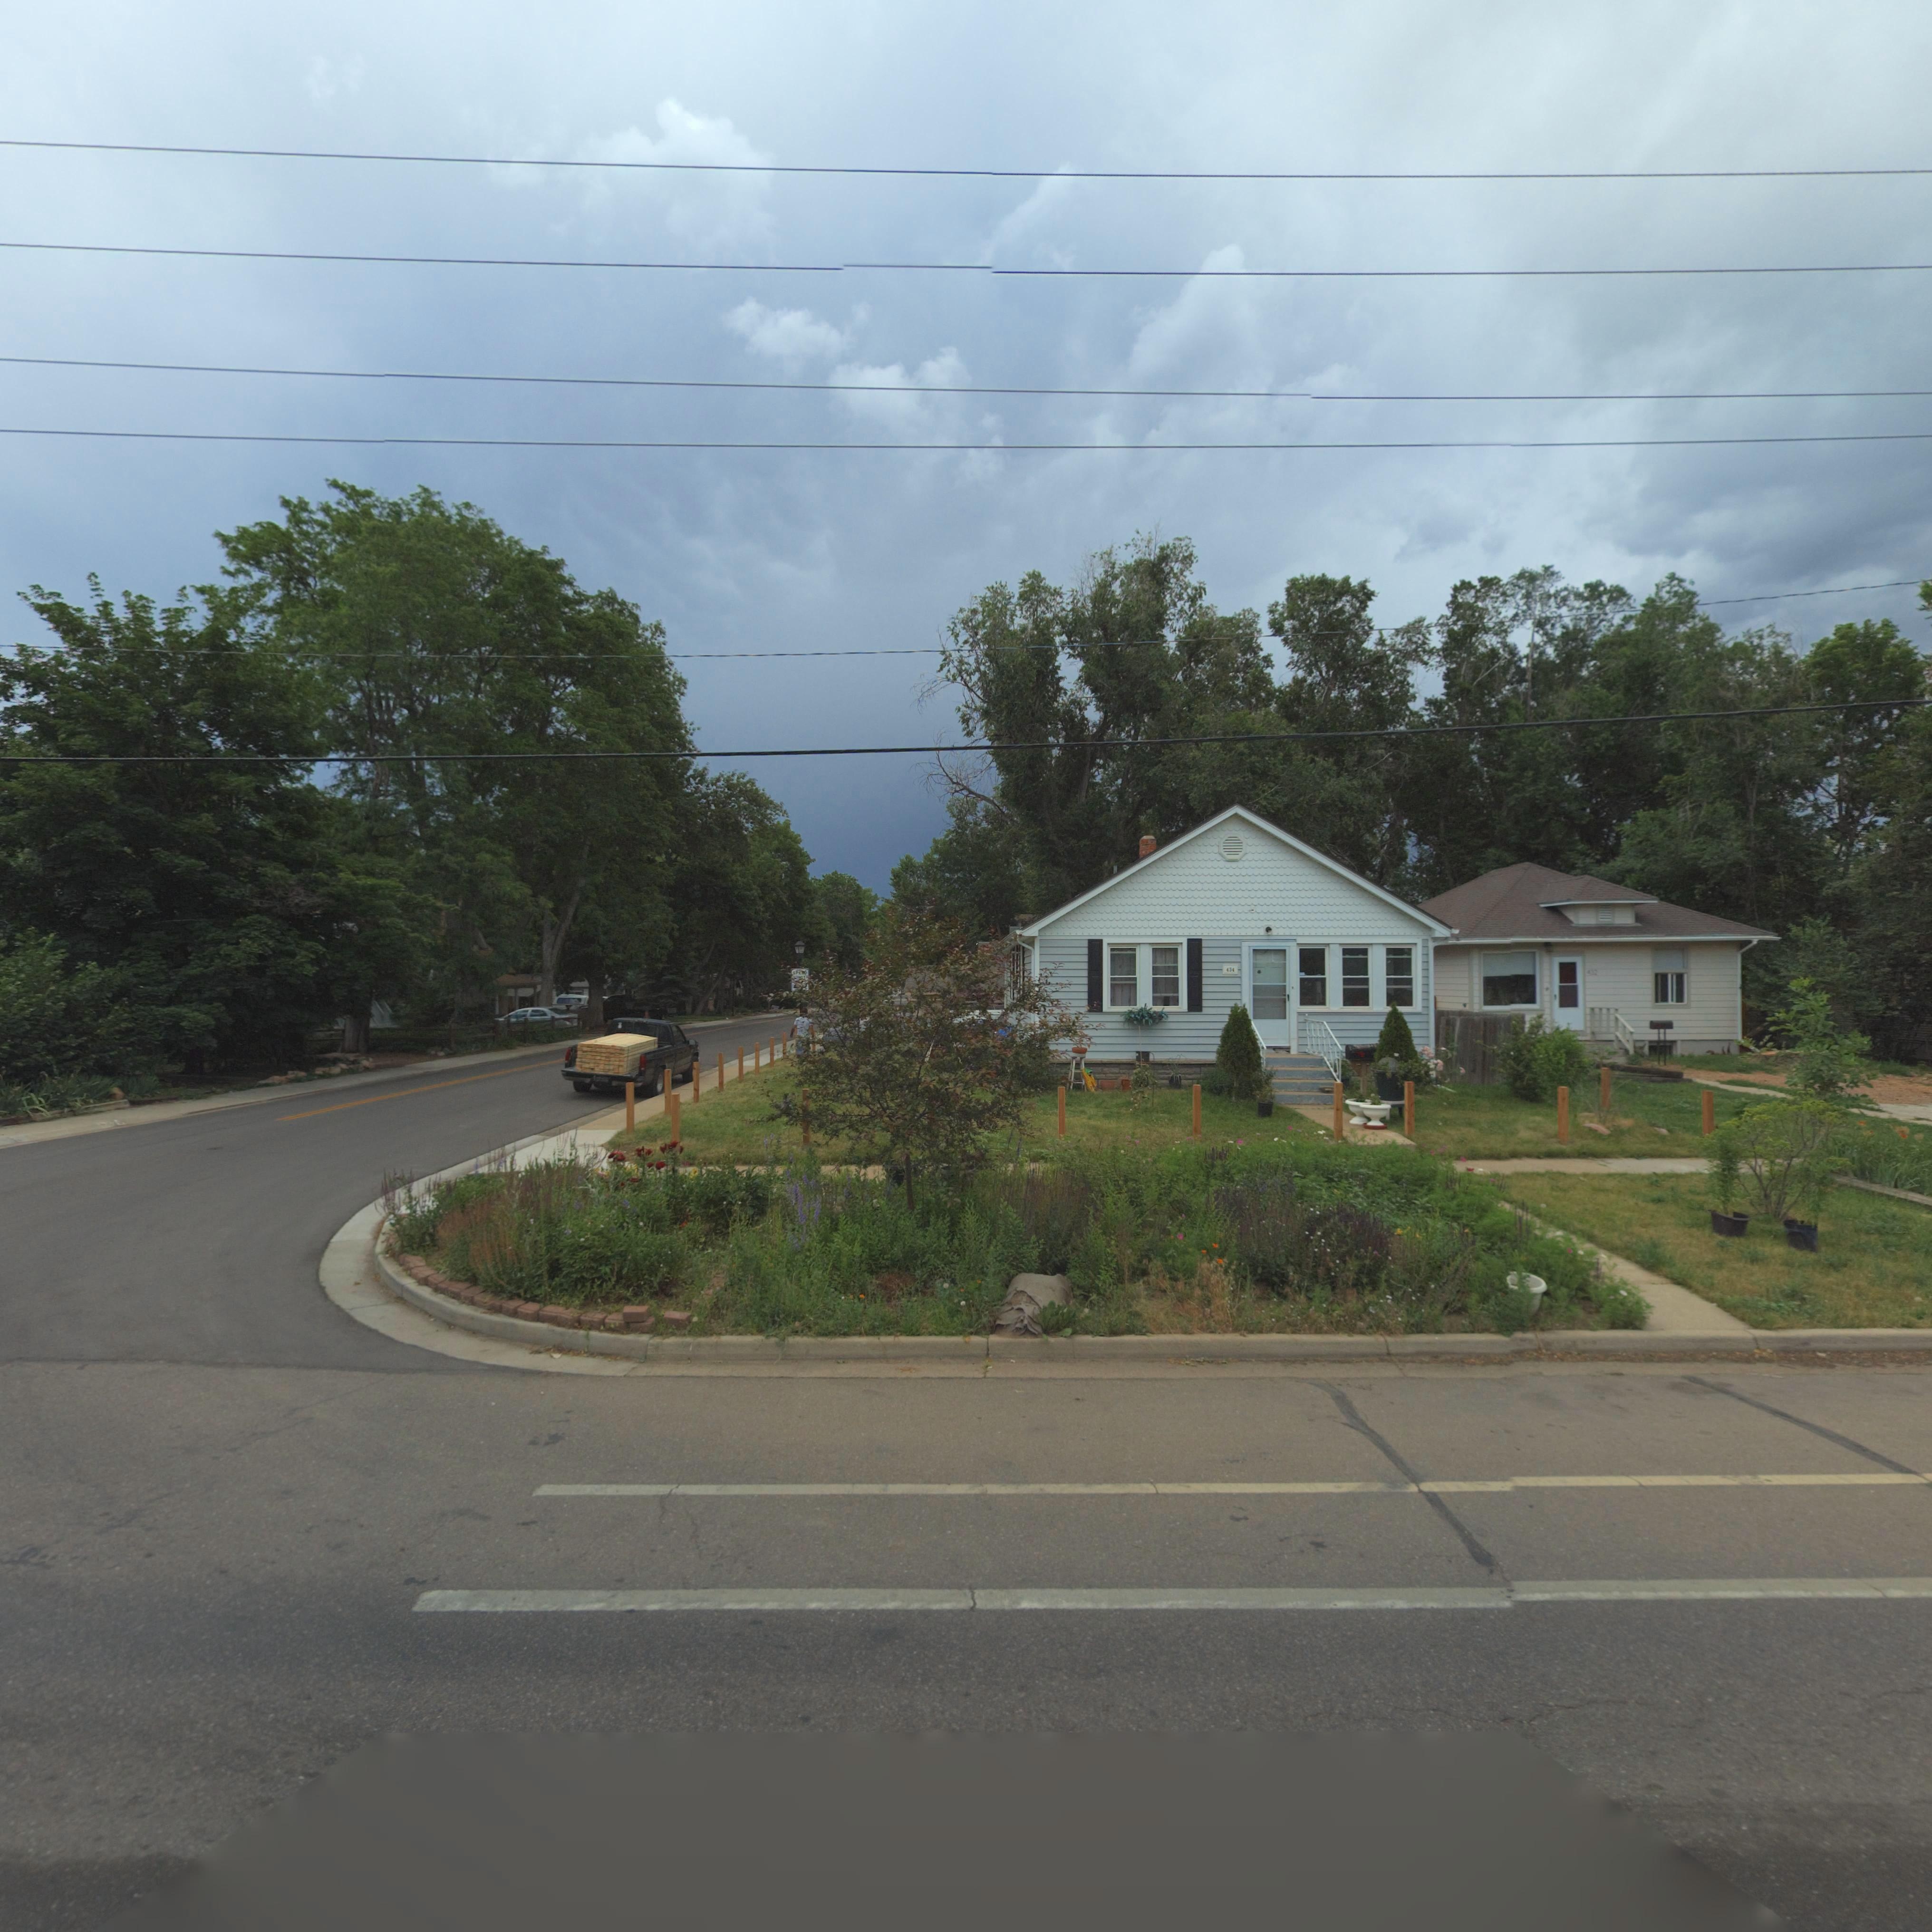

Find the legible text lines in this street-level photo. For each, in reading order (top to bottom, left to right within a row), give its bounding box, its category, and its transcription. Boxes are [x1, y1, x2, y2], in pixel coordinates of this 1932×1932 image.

[1226, 967, 1234, 972] StreetNumber: 434
[1585, 969, 1597, 976] StreetNumber: 4**